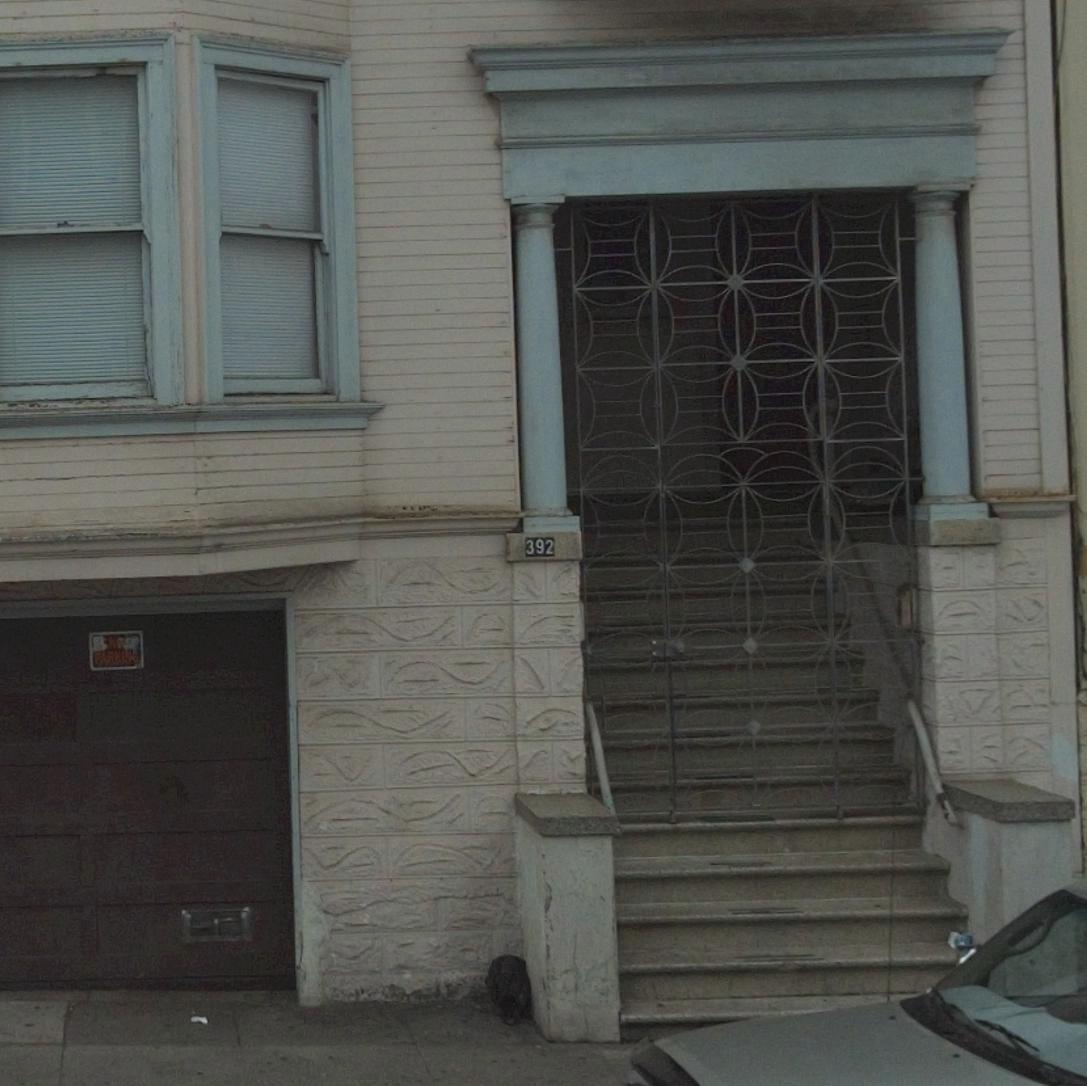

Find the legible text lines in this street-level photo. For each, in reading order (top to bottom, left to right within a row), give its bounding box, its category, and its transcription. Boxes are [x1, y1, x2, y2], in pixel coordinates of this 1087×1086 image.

[525, 538, 554, 556] StreetNumber: 392
[107, 635, 125, 652] None: NO
[93, 649, 140, 667] None: PARKI**